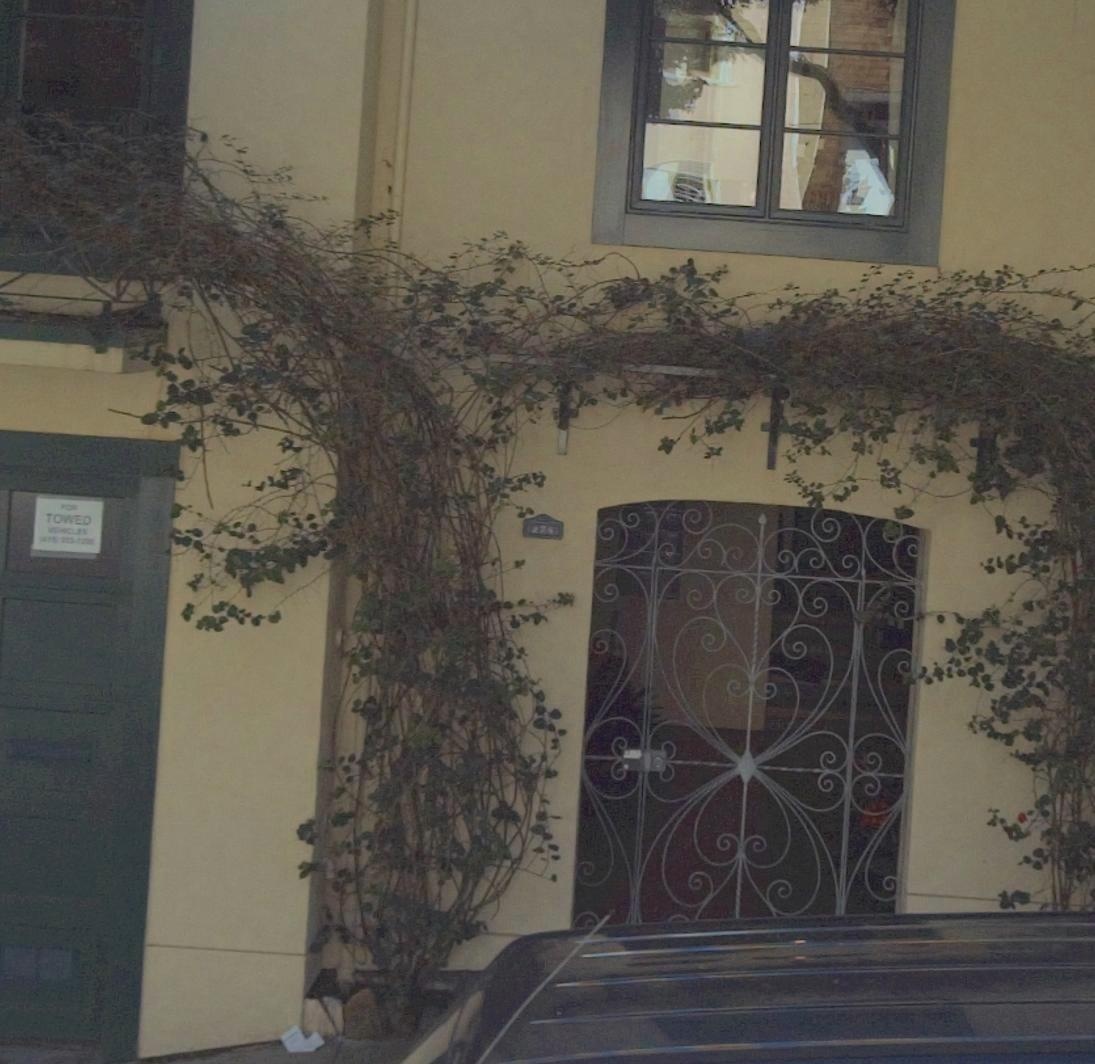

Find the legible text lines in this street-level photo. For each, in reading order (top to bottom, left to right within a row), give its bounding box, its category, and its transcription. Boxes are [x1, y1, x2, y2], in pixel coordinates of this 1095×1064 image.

[60, 503, 78, 510] None: FOR
[45, 513, 92, 527] None: TOWED
[46, 525, 86, 536] None: VEHICLES
[531, 524, 555, 535] StreetNumber: 275
[39, 535, 95, 545] None: ***-**3-*700